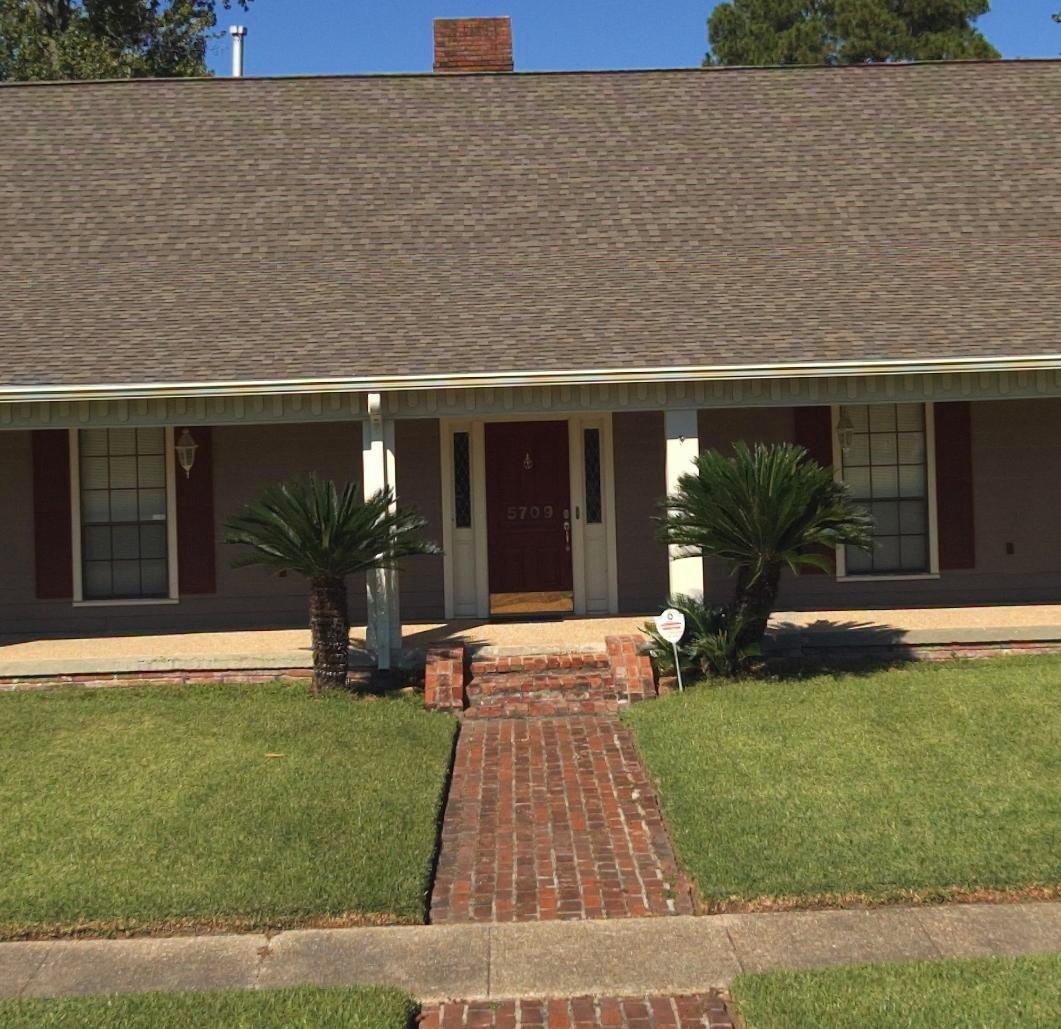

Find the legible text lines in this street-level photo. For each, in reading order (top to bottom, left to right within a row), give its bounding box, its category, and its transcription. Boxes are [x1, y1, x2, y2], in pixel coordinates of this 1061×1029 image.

[505, 503, 556, 523] StreetNumber: 5709